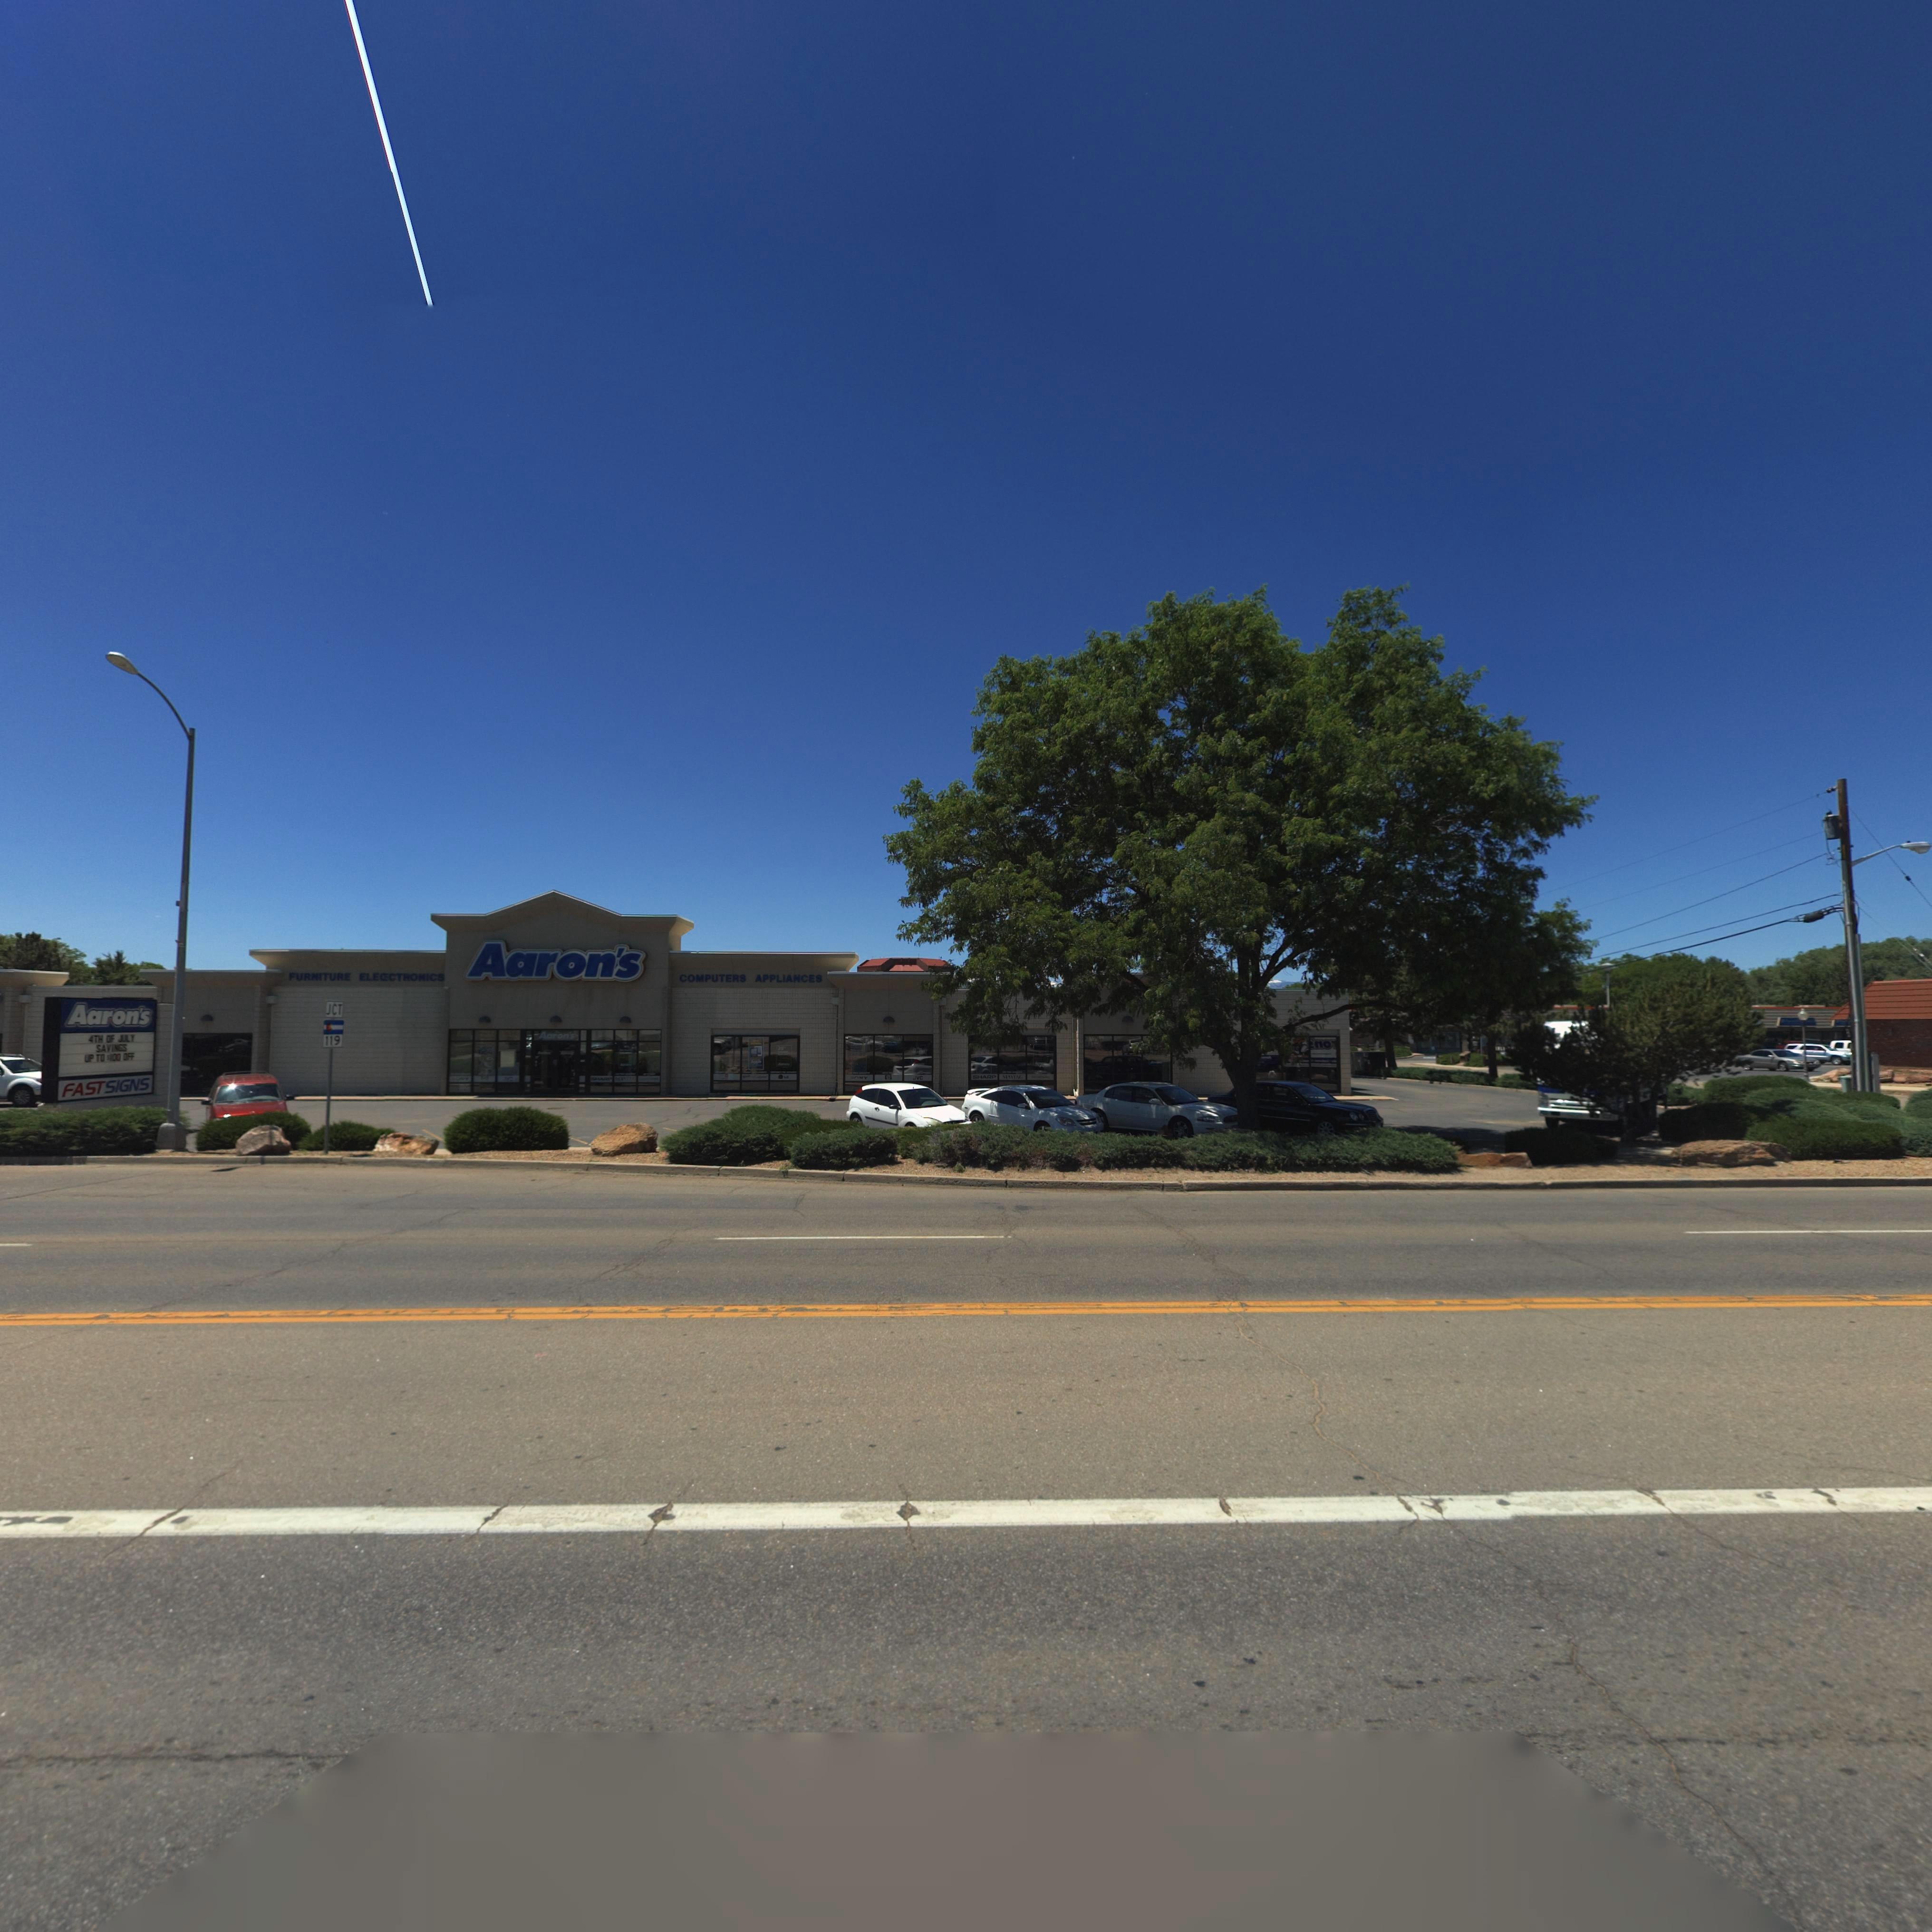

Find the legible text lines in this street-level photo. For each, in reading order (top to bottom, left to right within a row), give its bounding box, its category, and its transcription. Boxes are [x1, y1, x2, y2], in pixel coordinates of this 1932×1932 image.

[467, 942, 640, 978] BusinessName: Aaron's
[68, 1004, 150, 1025] BusinessName: Aaron's
[539, 1031, 575, 1039] BusinessName: Aaron's
[61, 1078, 149, 1097] BusinessName: FAST SIGNS